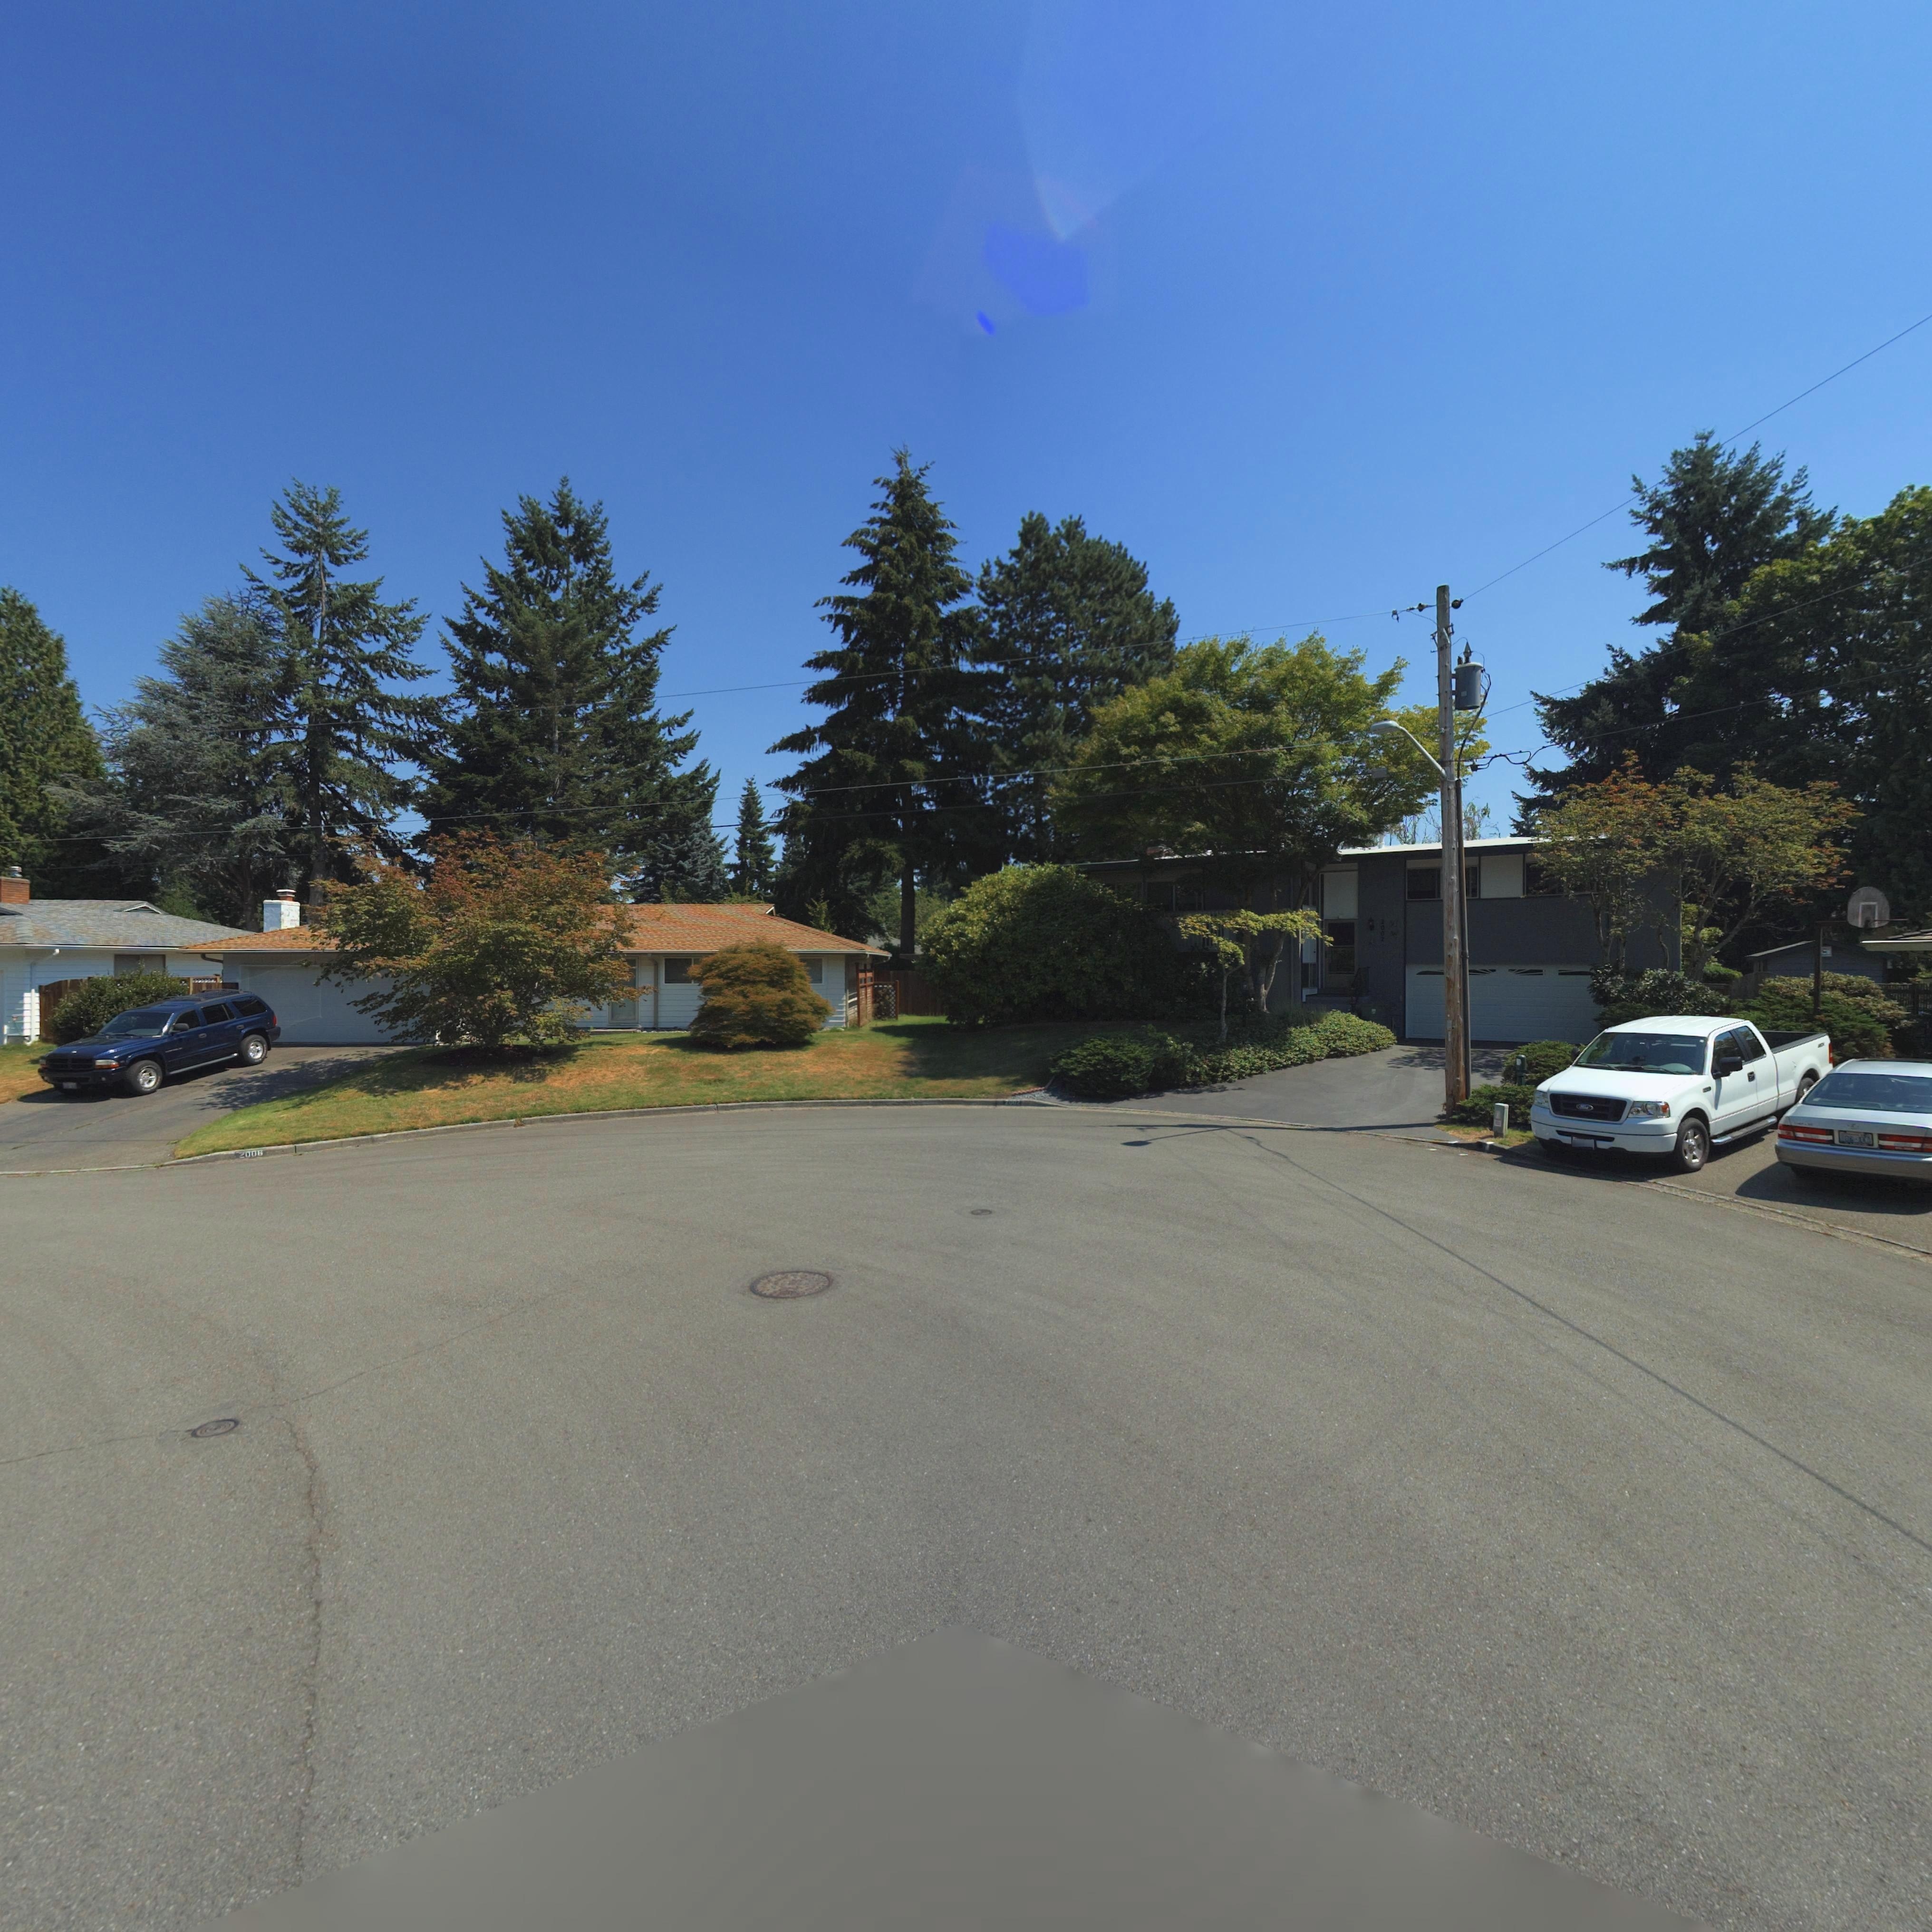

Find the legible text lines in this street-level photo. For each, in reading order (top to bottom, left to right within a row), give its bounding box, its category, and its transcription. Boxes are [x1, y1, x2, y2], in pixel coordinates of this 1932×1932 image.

[1380, 918, 1385, 942] StreetNumber: 2002
[238, 1149, 263, 1159] StreetNumber: 2006